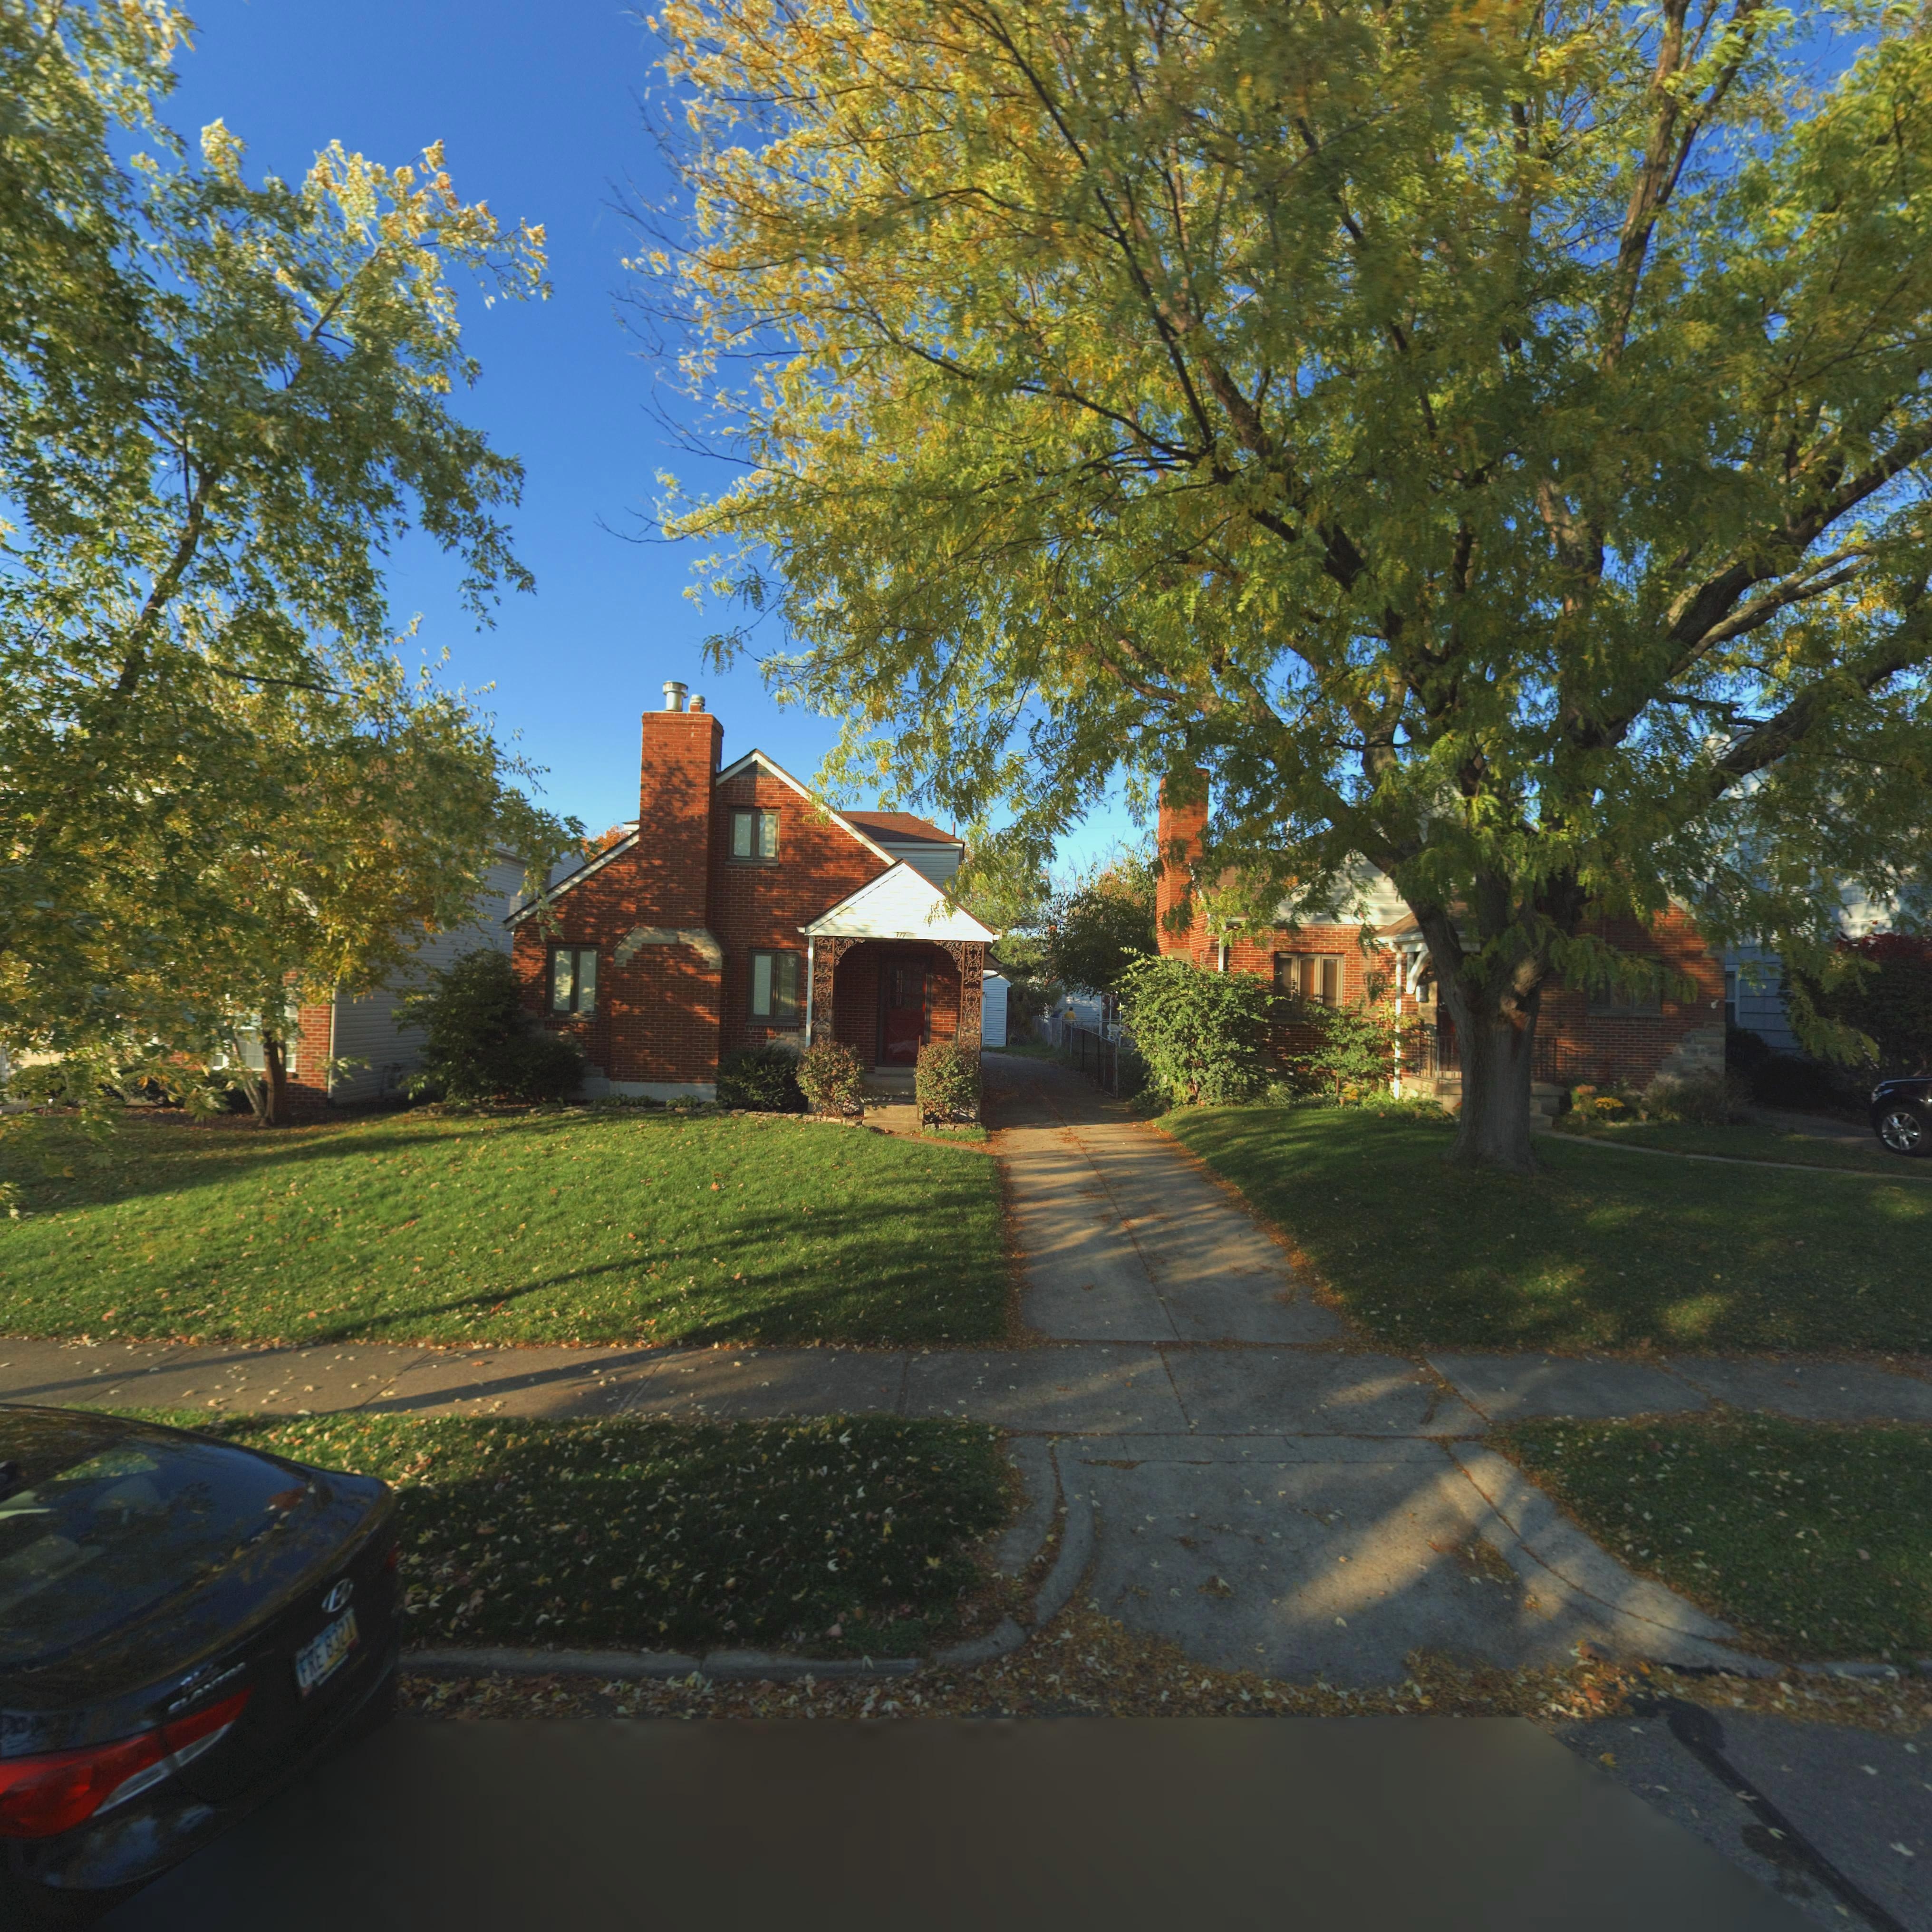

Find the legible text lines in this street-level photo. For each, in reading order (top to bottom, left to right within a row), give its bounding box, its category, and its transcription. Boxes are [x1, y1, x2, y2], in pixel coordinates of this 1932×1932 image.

[893, 932, 907, 939] StreetNumber: 317